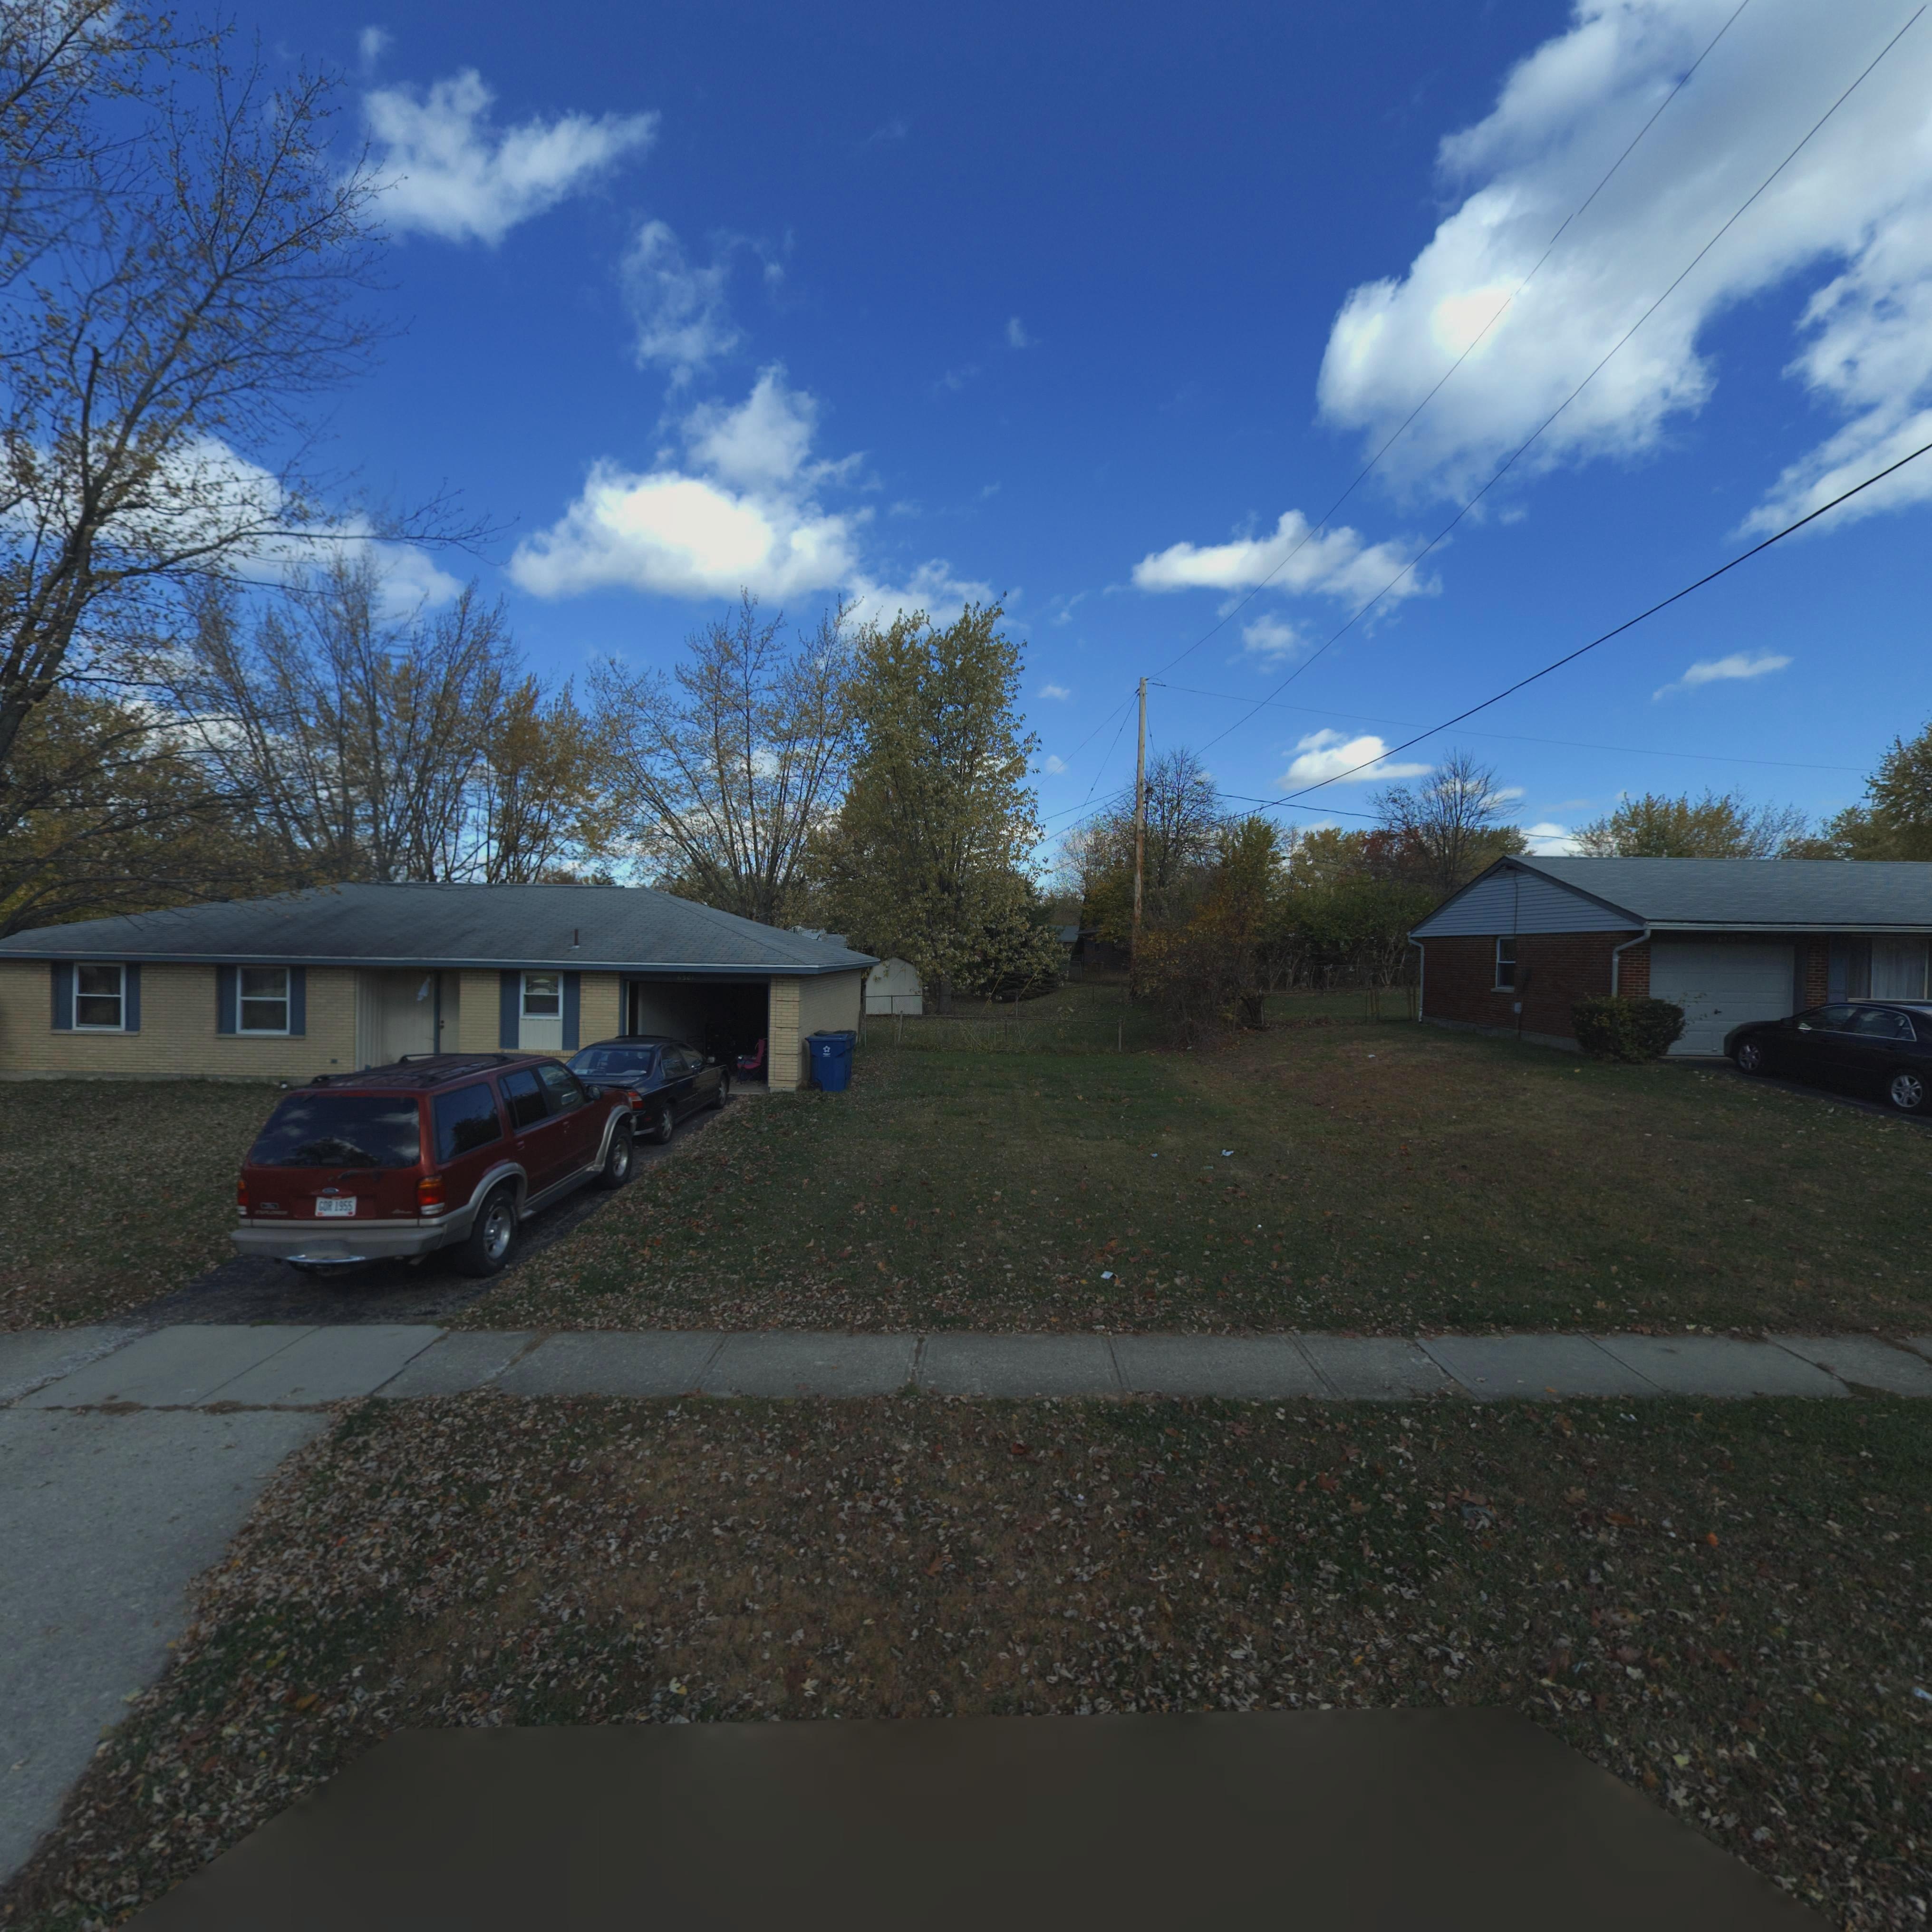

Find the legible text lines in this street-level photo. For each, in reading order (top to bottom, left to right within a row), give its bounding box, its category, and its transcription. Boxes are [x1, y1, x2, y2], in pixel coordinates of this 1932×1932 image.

[1717, 936, 1722, 942] StreetNumber: 6
[676, 974, 695, 981] StreetNumber: 6*0*